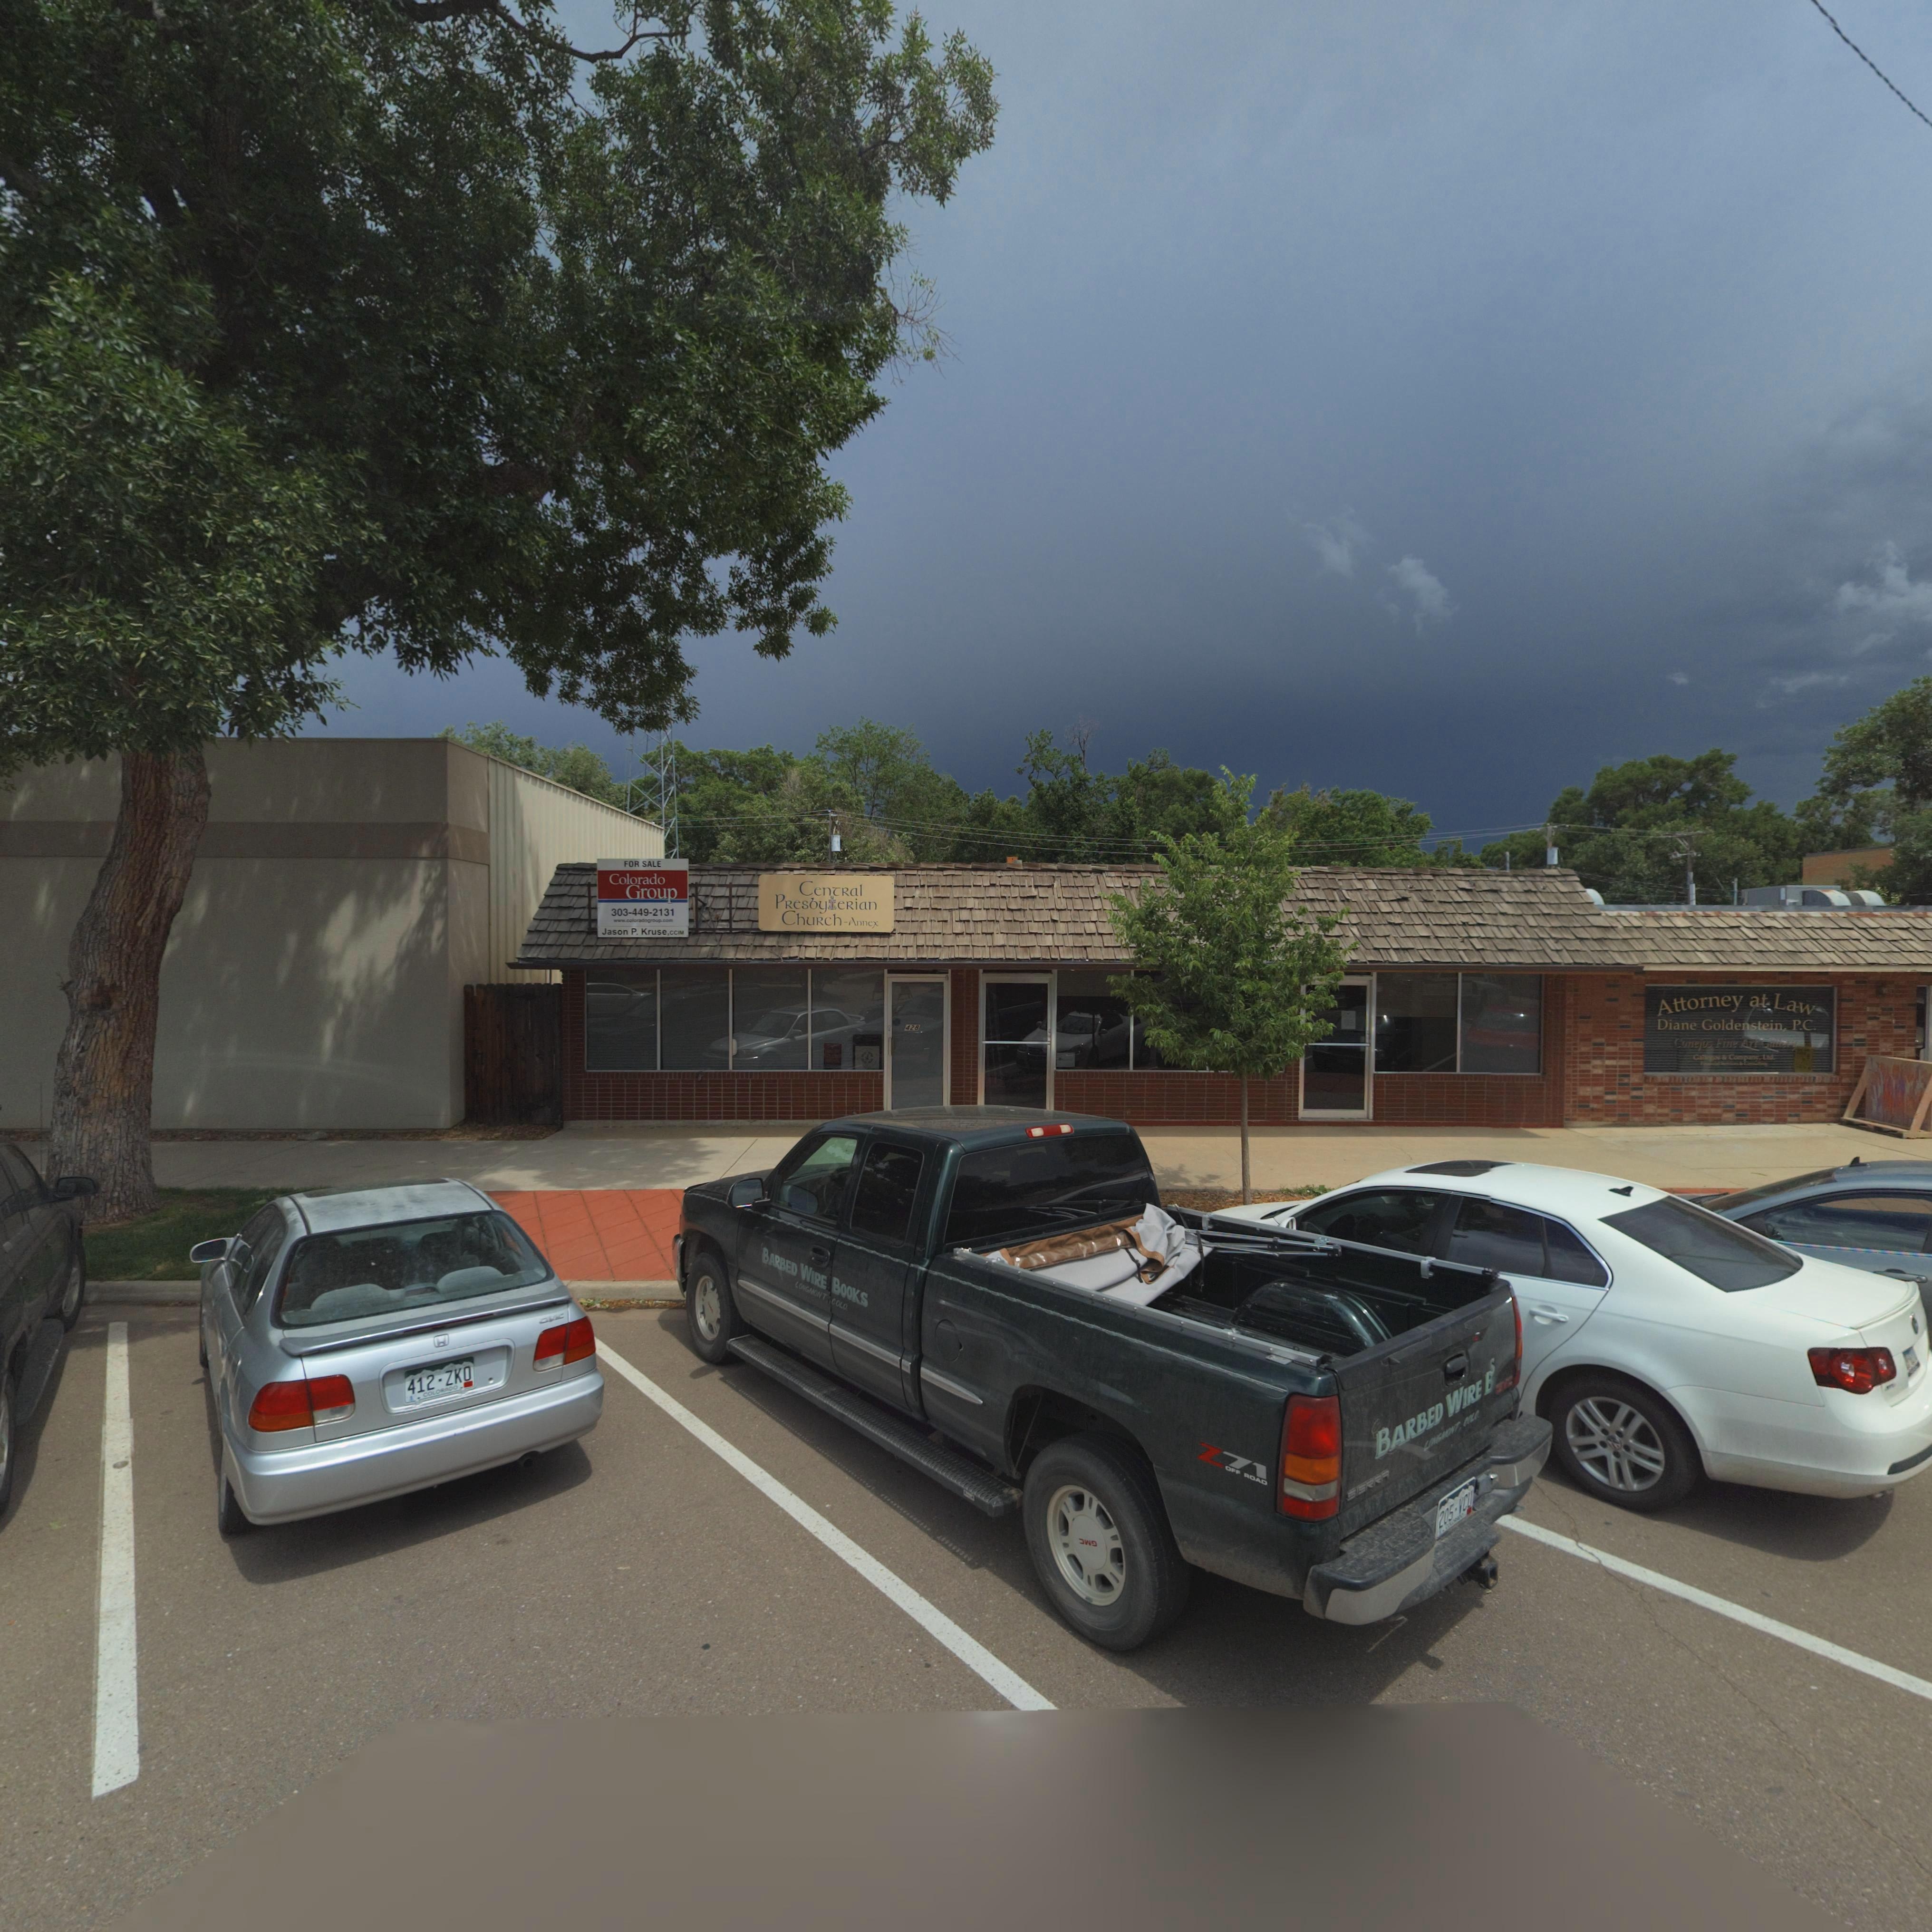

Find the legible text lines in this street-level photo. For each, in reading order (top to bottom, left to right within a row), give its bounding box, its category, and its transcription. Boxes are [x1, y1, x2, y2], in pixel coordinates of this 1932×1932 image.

[799, 880, 862, 897] BusinessName: CenTRal
[774, 893, 877, 914] StreetNumber: PResby*eRian
[781, 909, 879, 927] BusinessName: ChuRch-Annex
[1656, 991, 1820, 1016] BusinessName: Attorney at Law
[905, 1024, 919, 1030] StreetNumber: 428
[1656, 1018, 1814, 1031] BusinessName: Diane Goldenstein, P.C
[1674, 1036, 1799, 1053] BusinessName: Conejos Fine Art Gallery
[1692, 1053, 1775, 1063] BusinessName: Gallegos & Company, Ltd